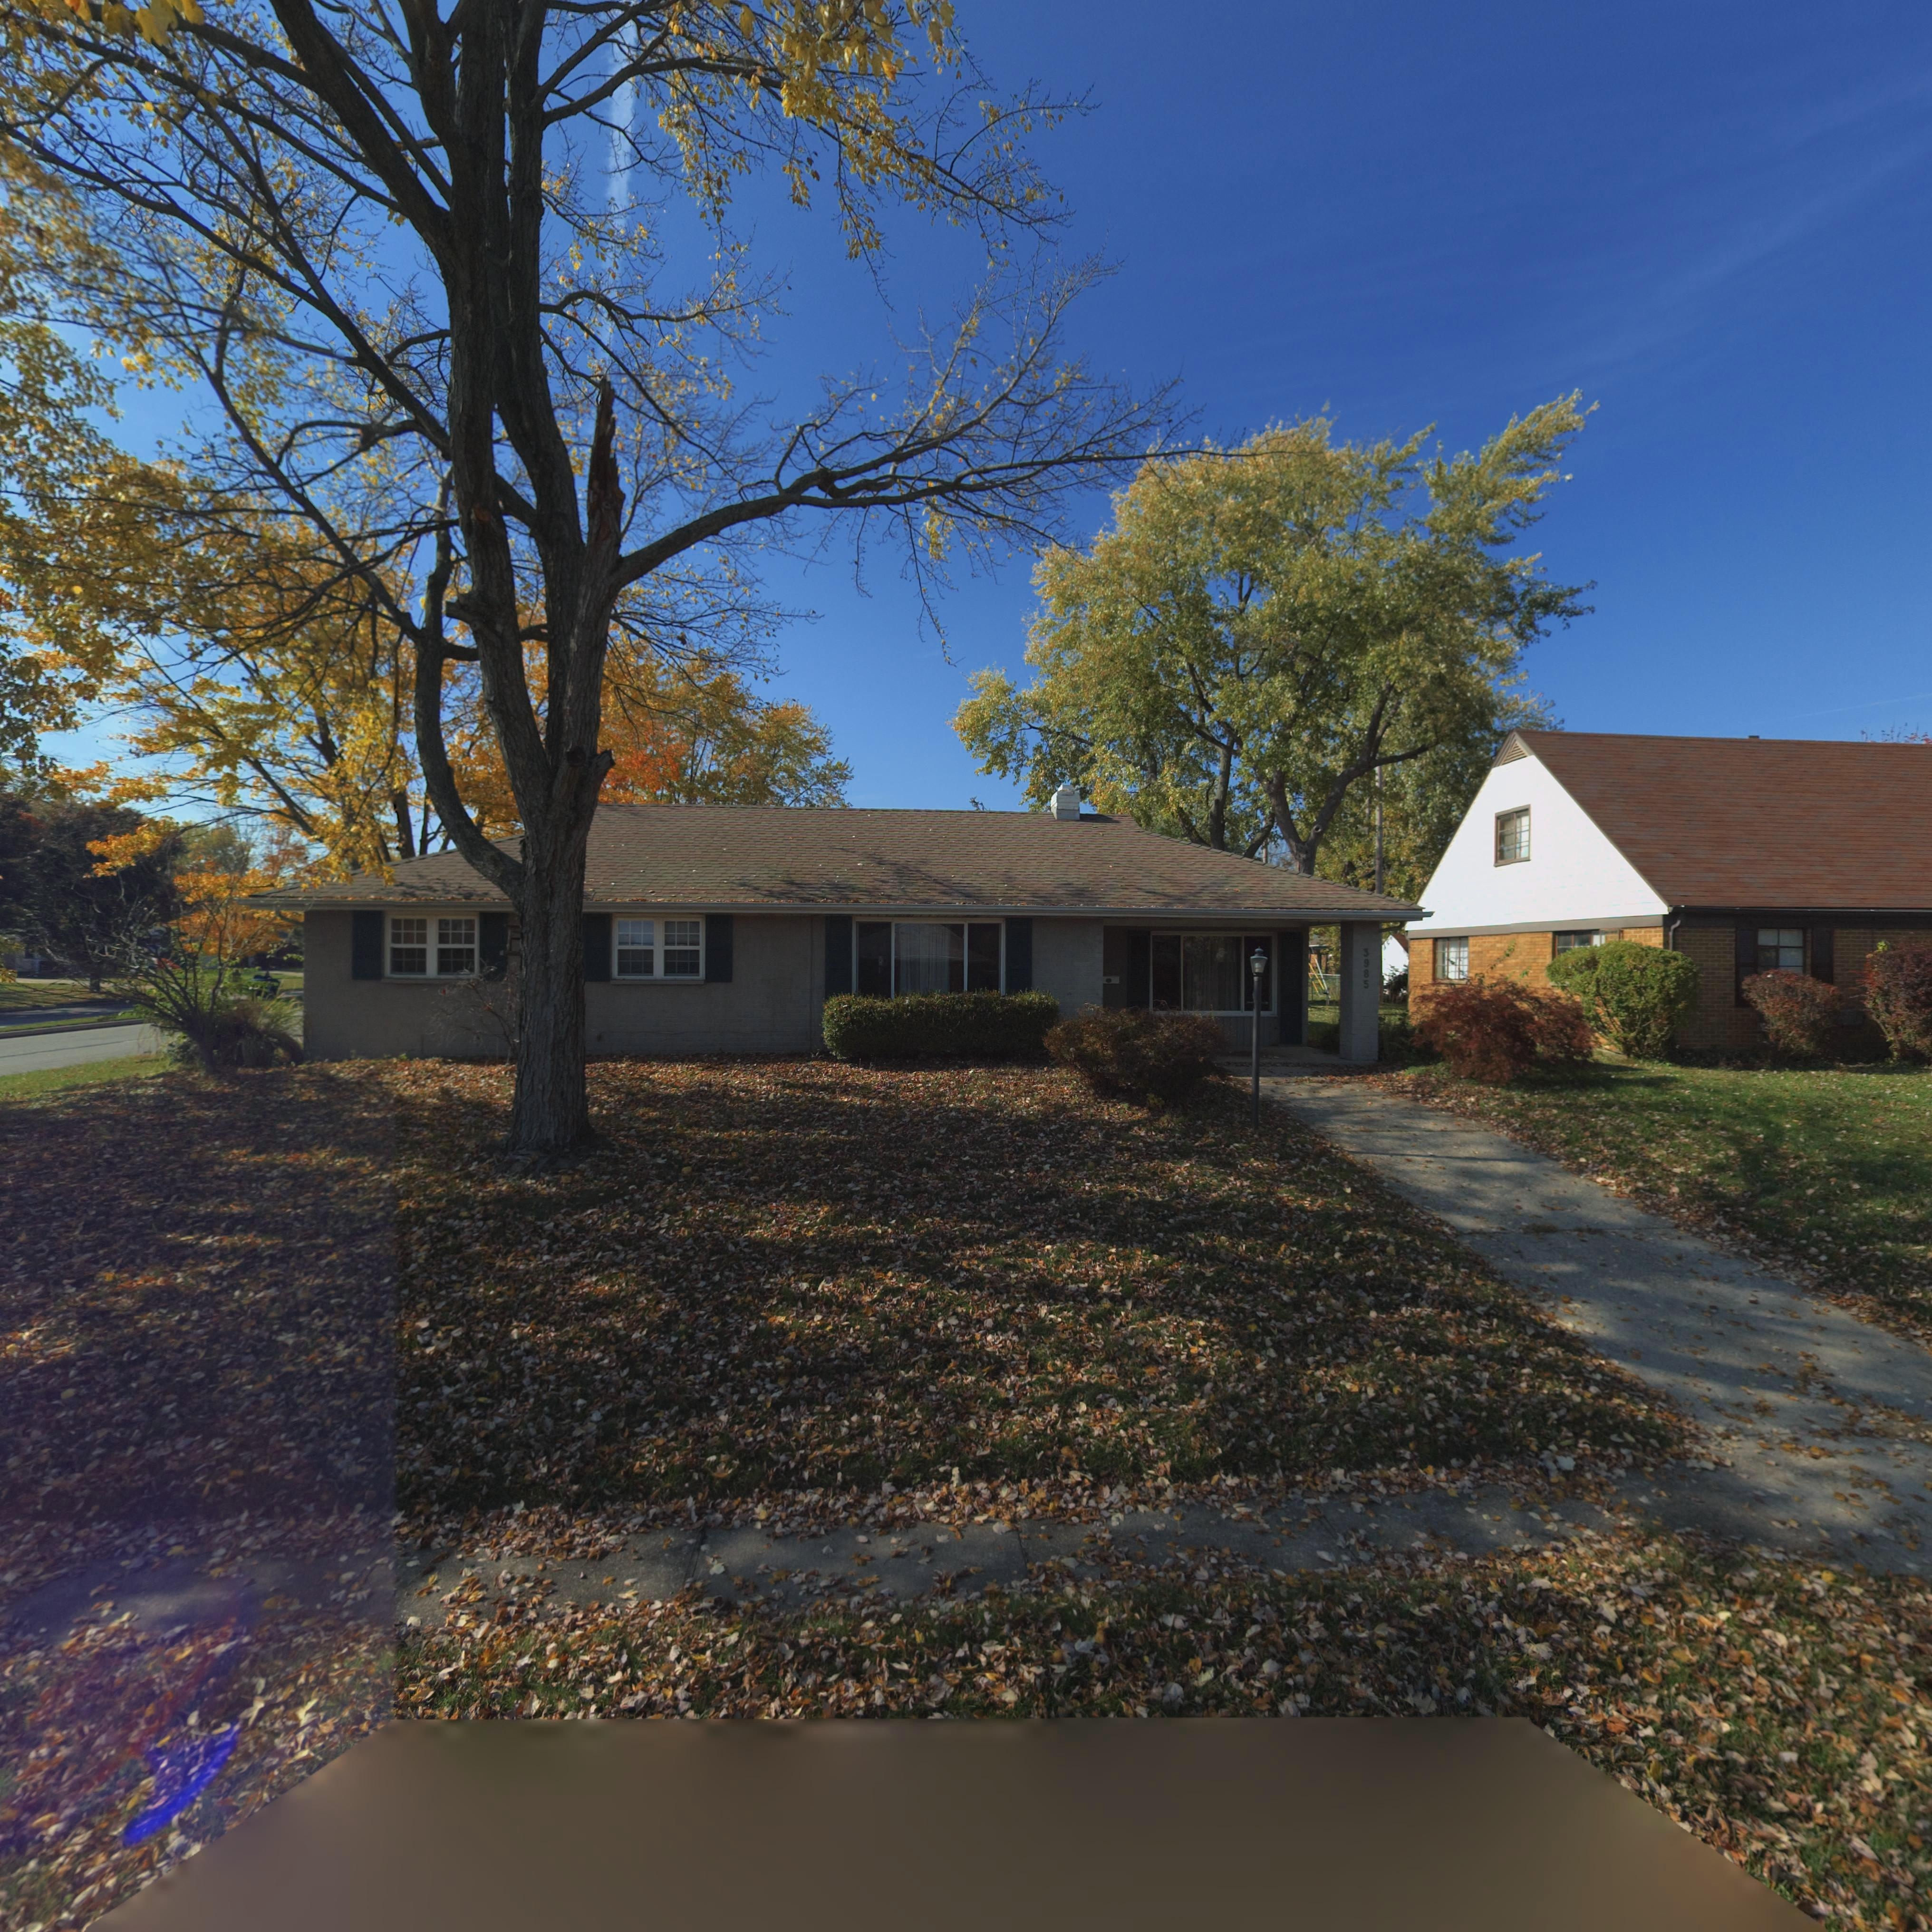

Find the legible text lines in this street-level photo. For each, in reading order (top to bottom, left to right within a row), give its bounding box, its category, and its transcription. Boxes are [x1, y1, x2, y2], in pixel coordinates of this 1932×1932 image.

[1362, 947, 1370, 991] StreetNumber: 3985